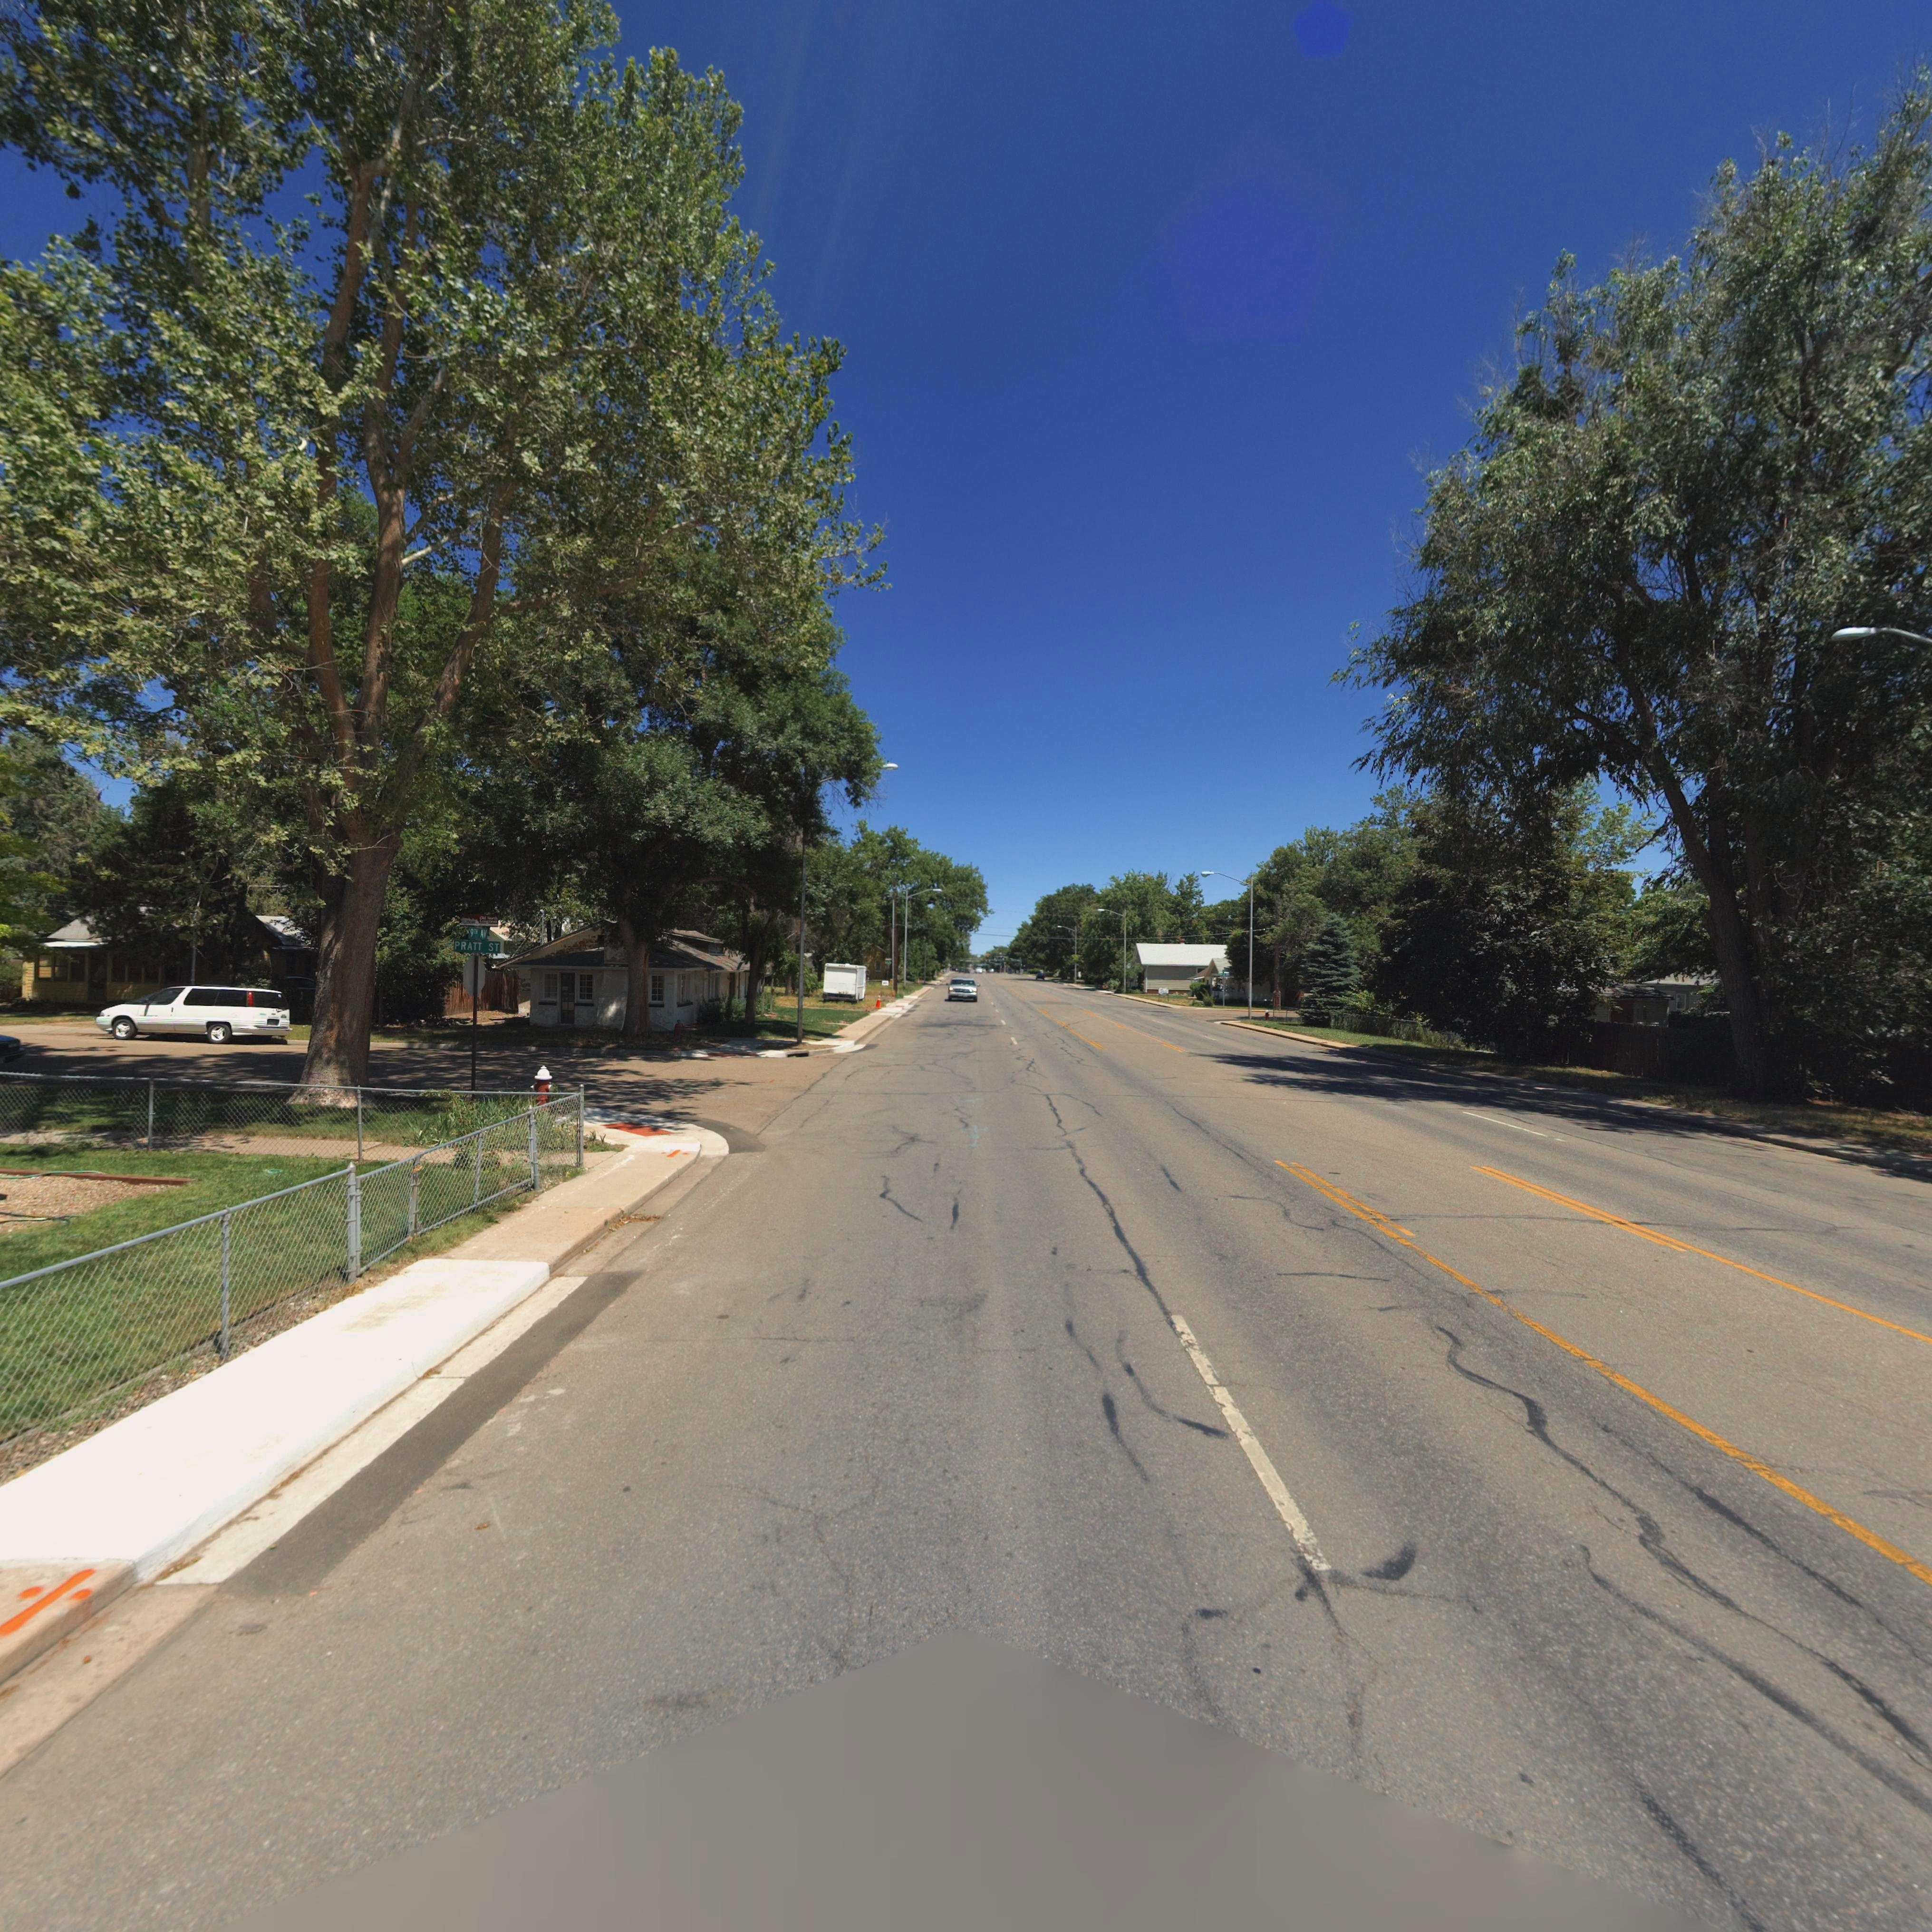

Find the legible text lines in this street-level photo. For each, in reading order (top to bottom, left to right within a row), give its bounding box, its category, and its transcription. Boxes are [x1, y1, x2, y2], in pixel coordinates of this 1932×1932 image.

[470, 928, 487, 937] StreetName: 9TH AV
[454, 941, 499, 951] StreetName: PRATT ST